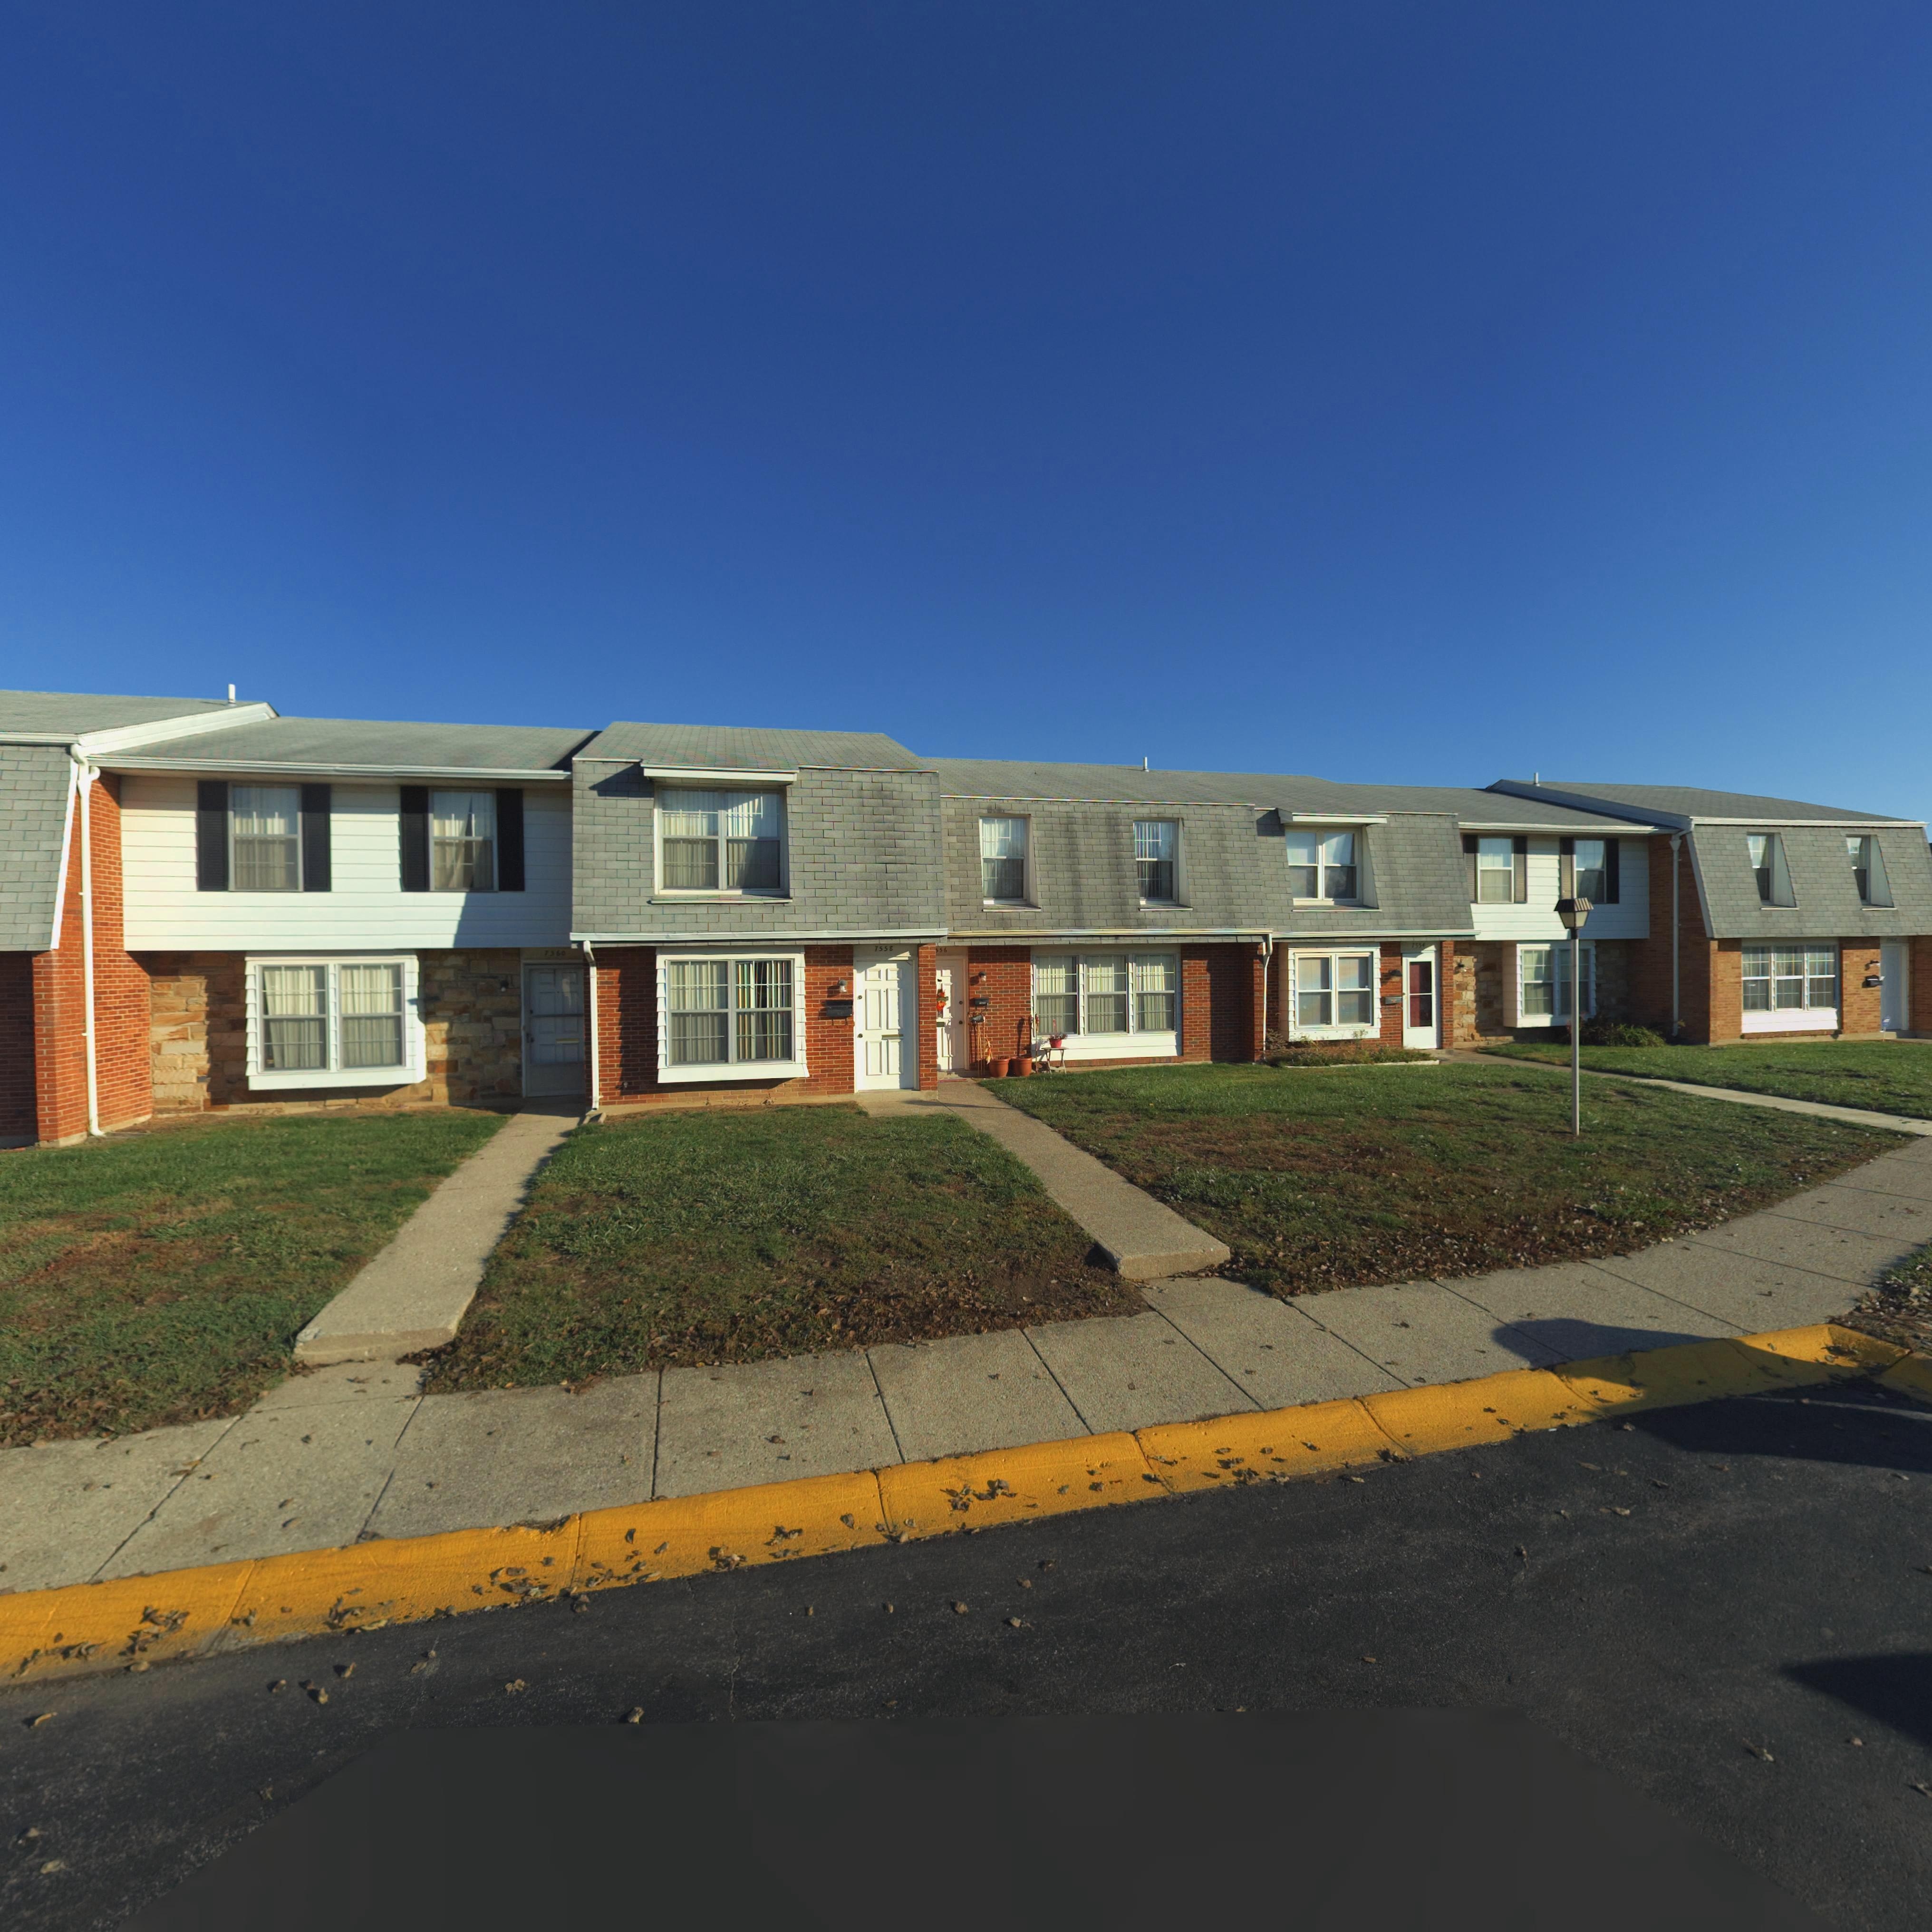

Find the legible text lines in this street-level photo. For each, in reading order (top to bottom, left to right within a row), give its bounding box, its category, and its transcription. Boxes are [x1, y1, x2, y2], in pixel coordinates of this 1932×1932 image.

[543, 948, 566, 958] StreetNumber: 7*60
[874, 945, 894, 953] StreetNumber: 7558
[938, 946, 948, 954] StreetNumber: 56
[1410, 942, 1426, 949] StreetNumber: 7554